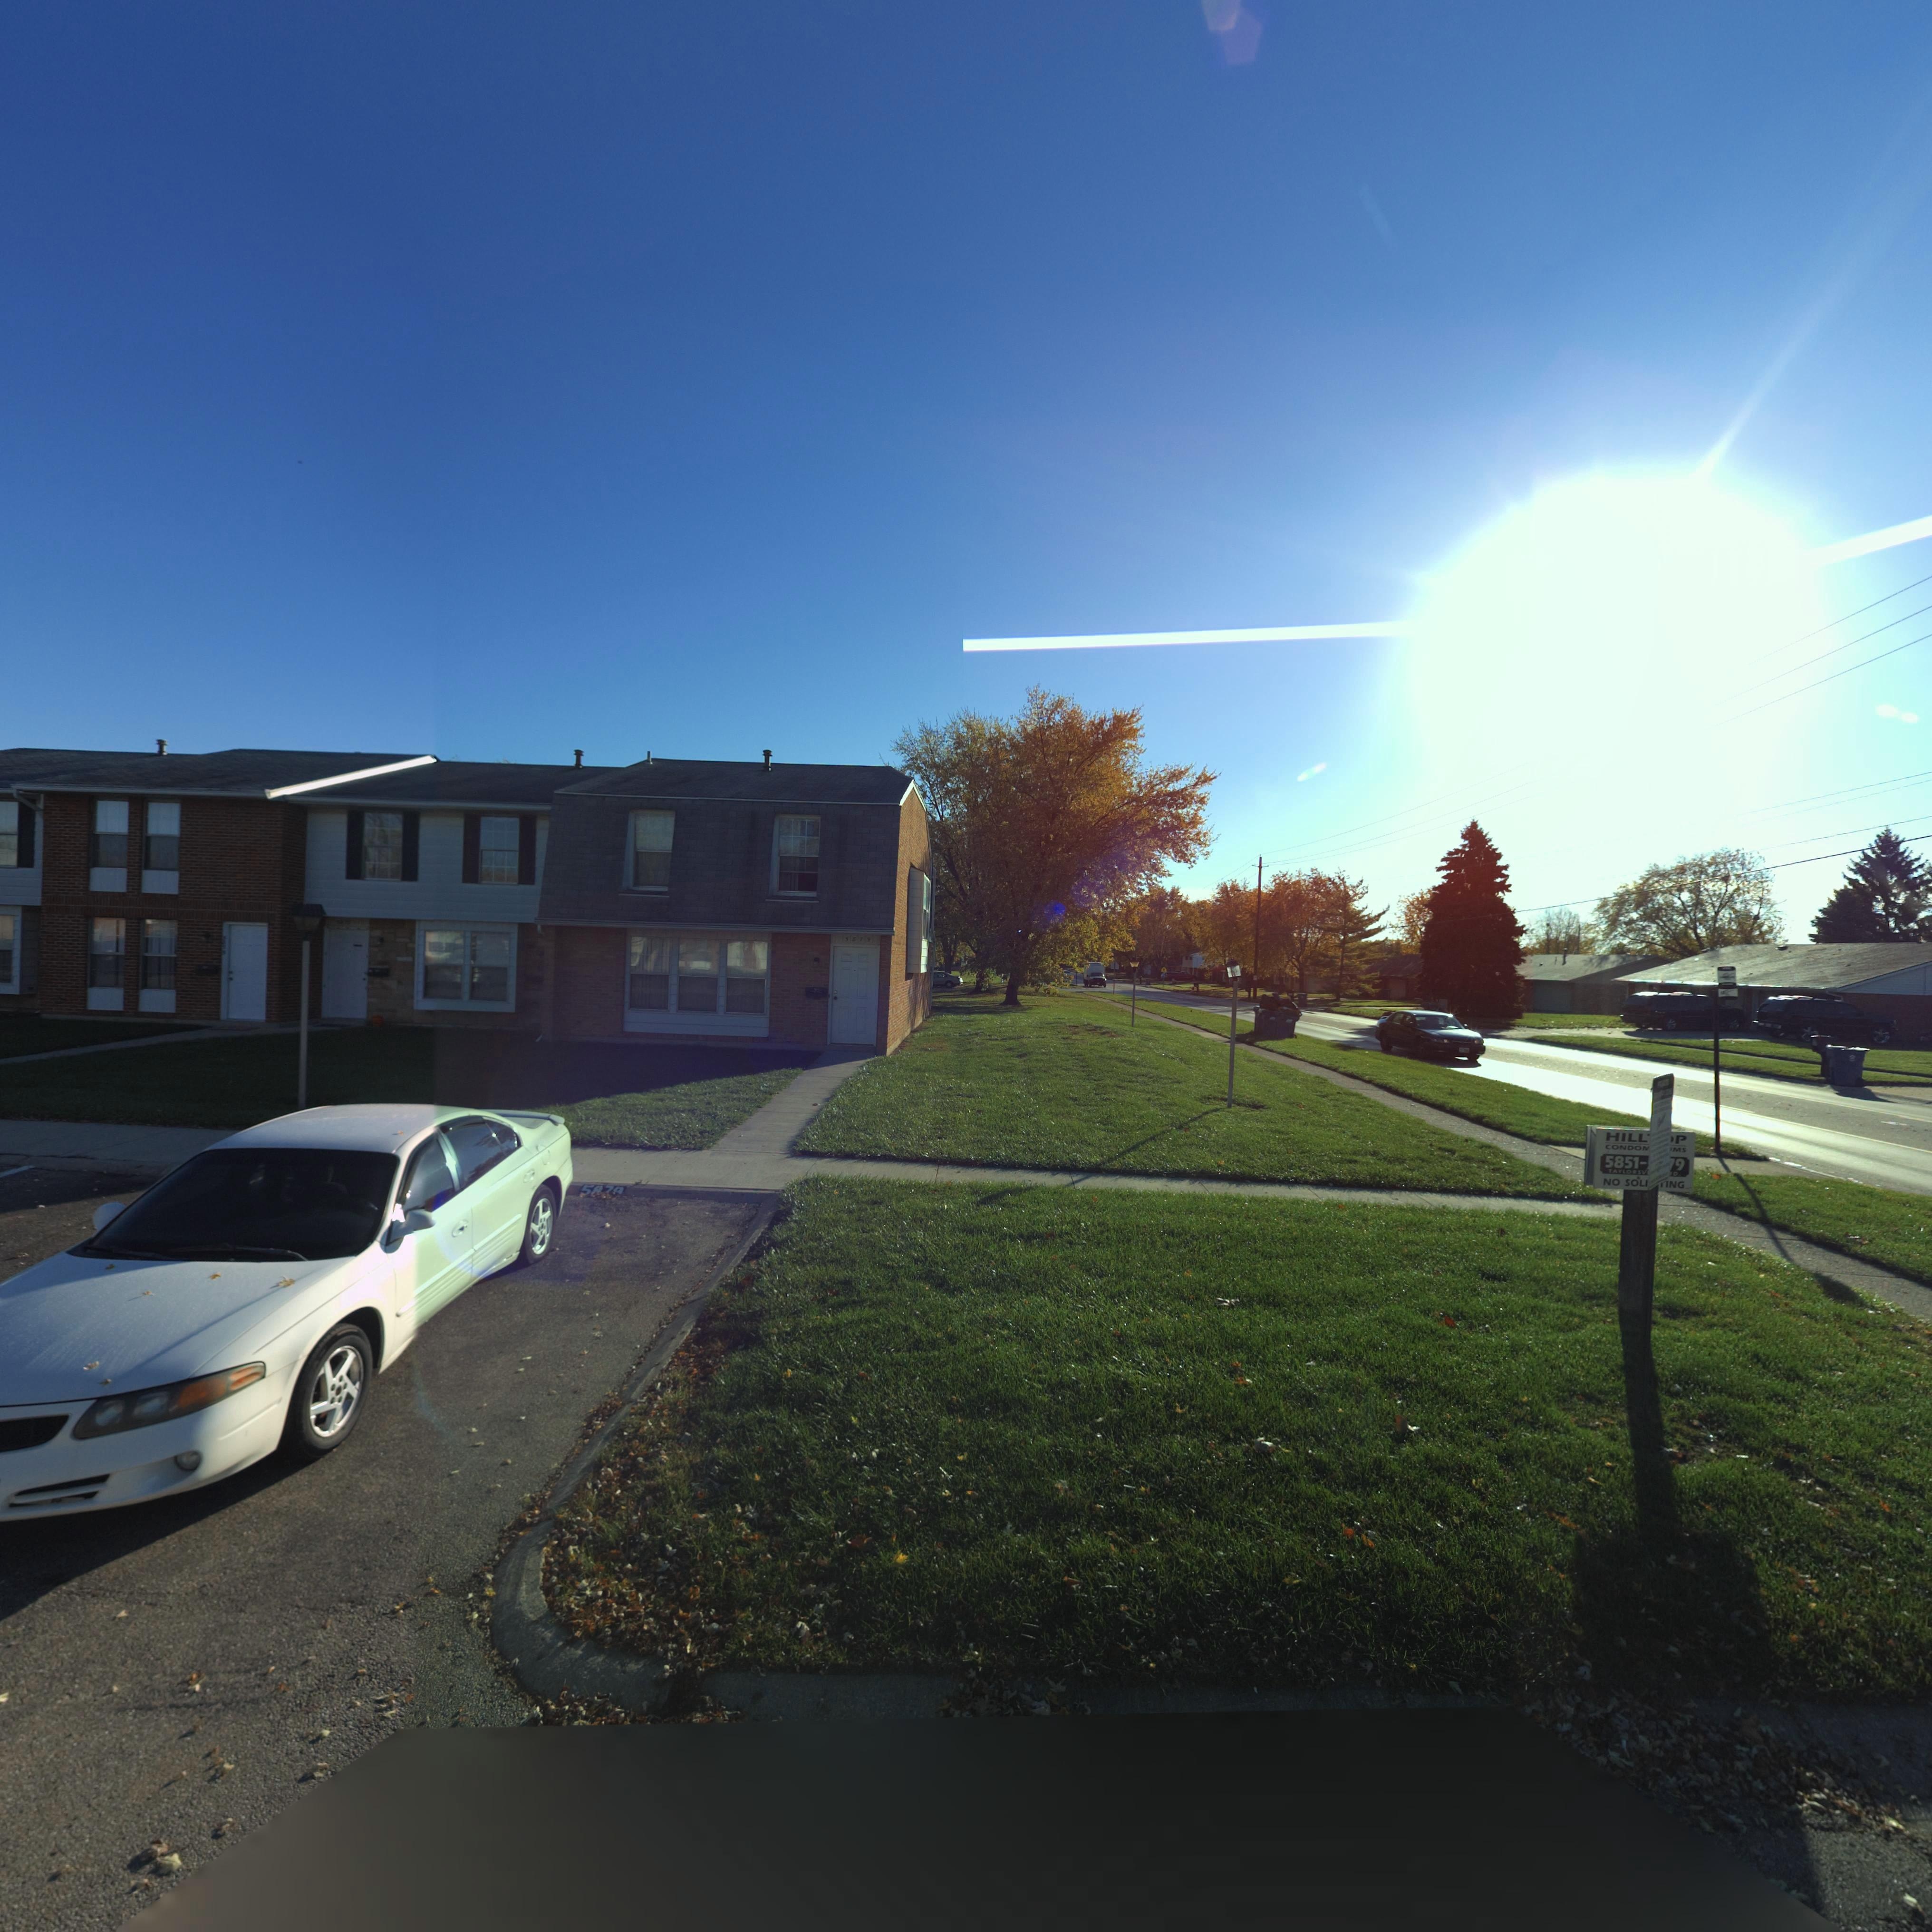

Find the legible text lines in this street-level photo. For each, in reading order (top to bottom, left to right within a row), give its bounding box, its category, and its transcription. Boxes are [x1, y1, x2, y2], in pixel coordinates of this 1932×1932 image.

[843, 936, 872, 944] StreetNumber: 5879